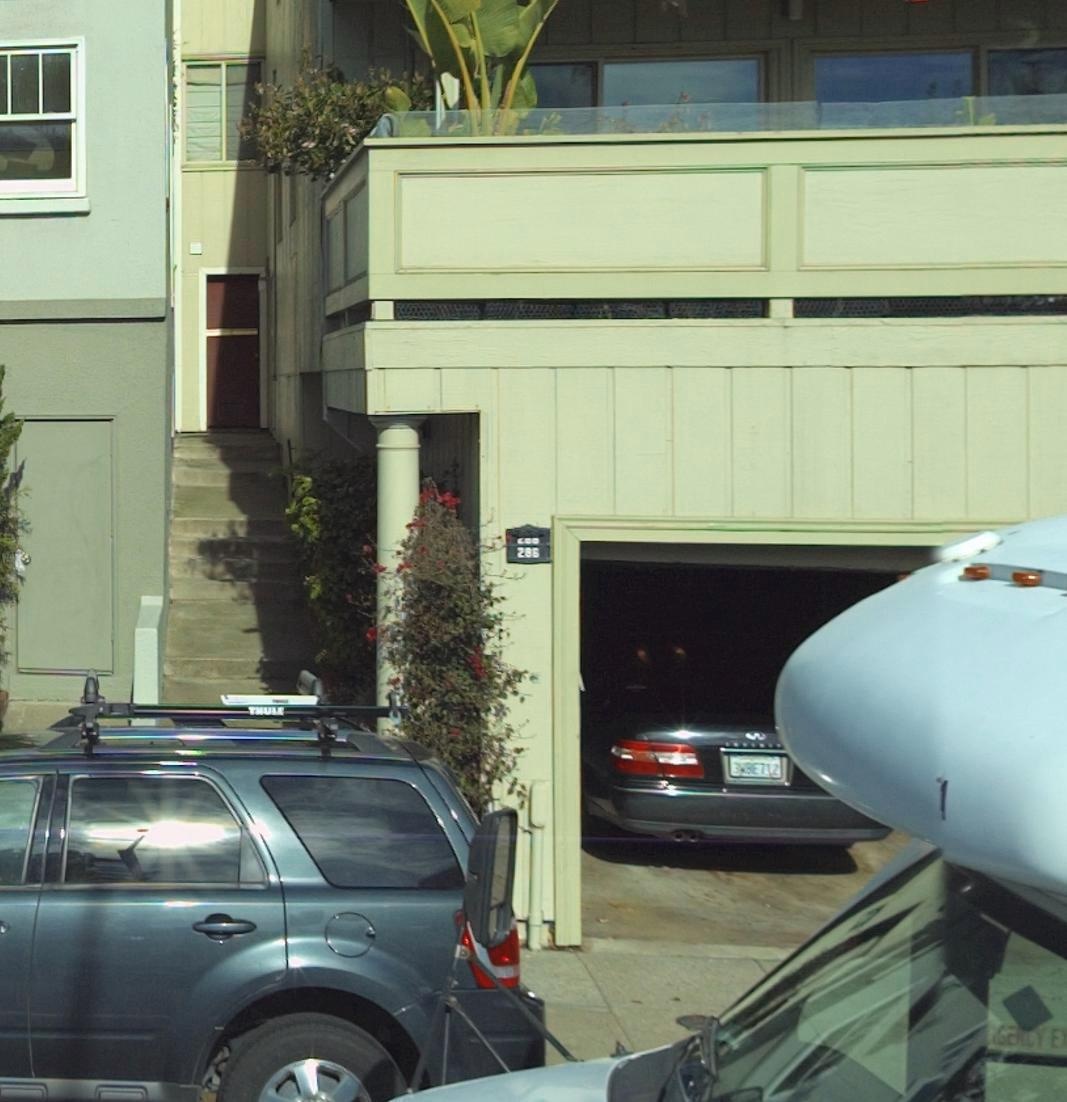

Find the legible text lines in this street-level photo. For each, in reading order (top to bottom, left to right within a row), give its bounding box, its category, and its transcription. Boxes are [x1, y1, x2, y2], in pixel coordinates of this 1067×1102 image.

[515, 534, 542, 545] StreetNumber: 288
[515, 546, 542, 559] StreetNumber: 286
[247, 705, 284, 716] None: THULE
[724, 741, 783, 748] None: INFINIT
[730, 761, 778, 775] None: 3WBE712
[996, 1023, 1063, 1050] None: GENCY E